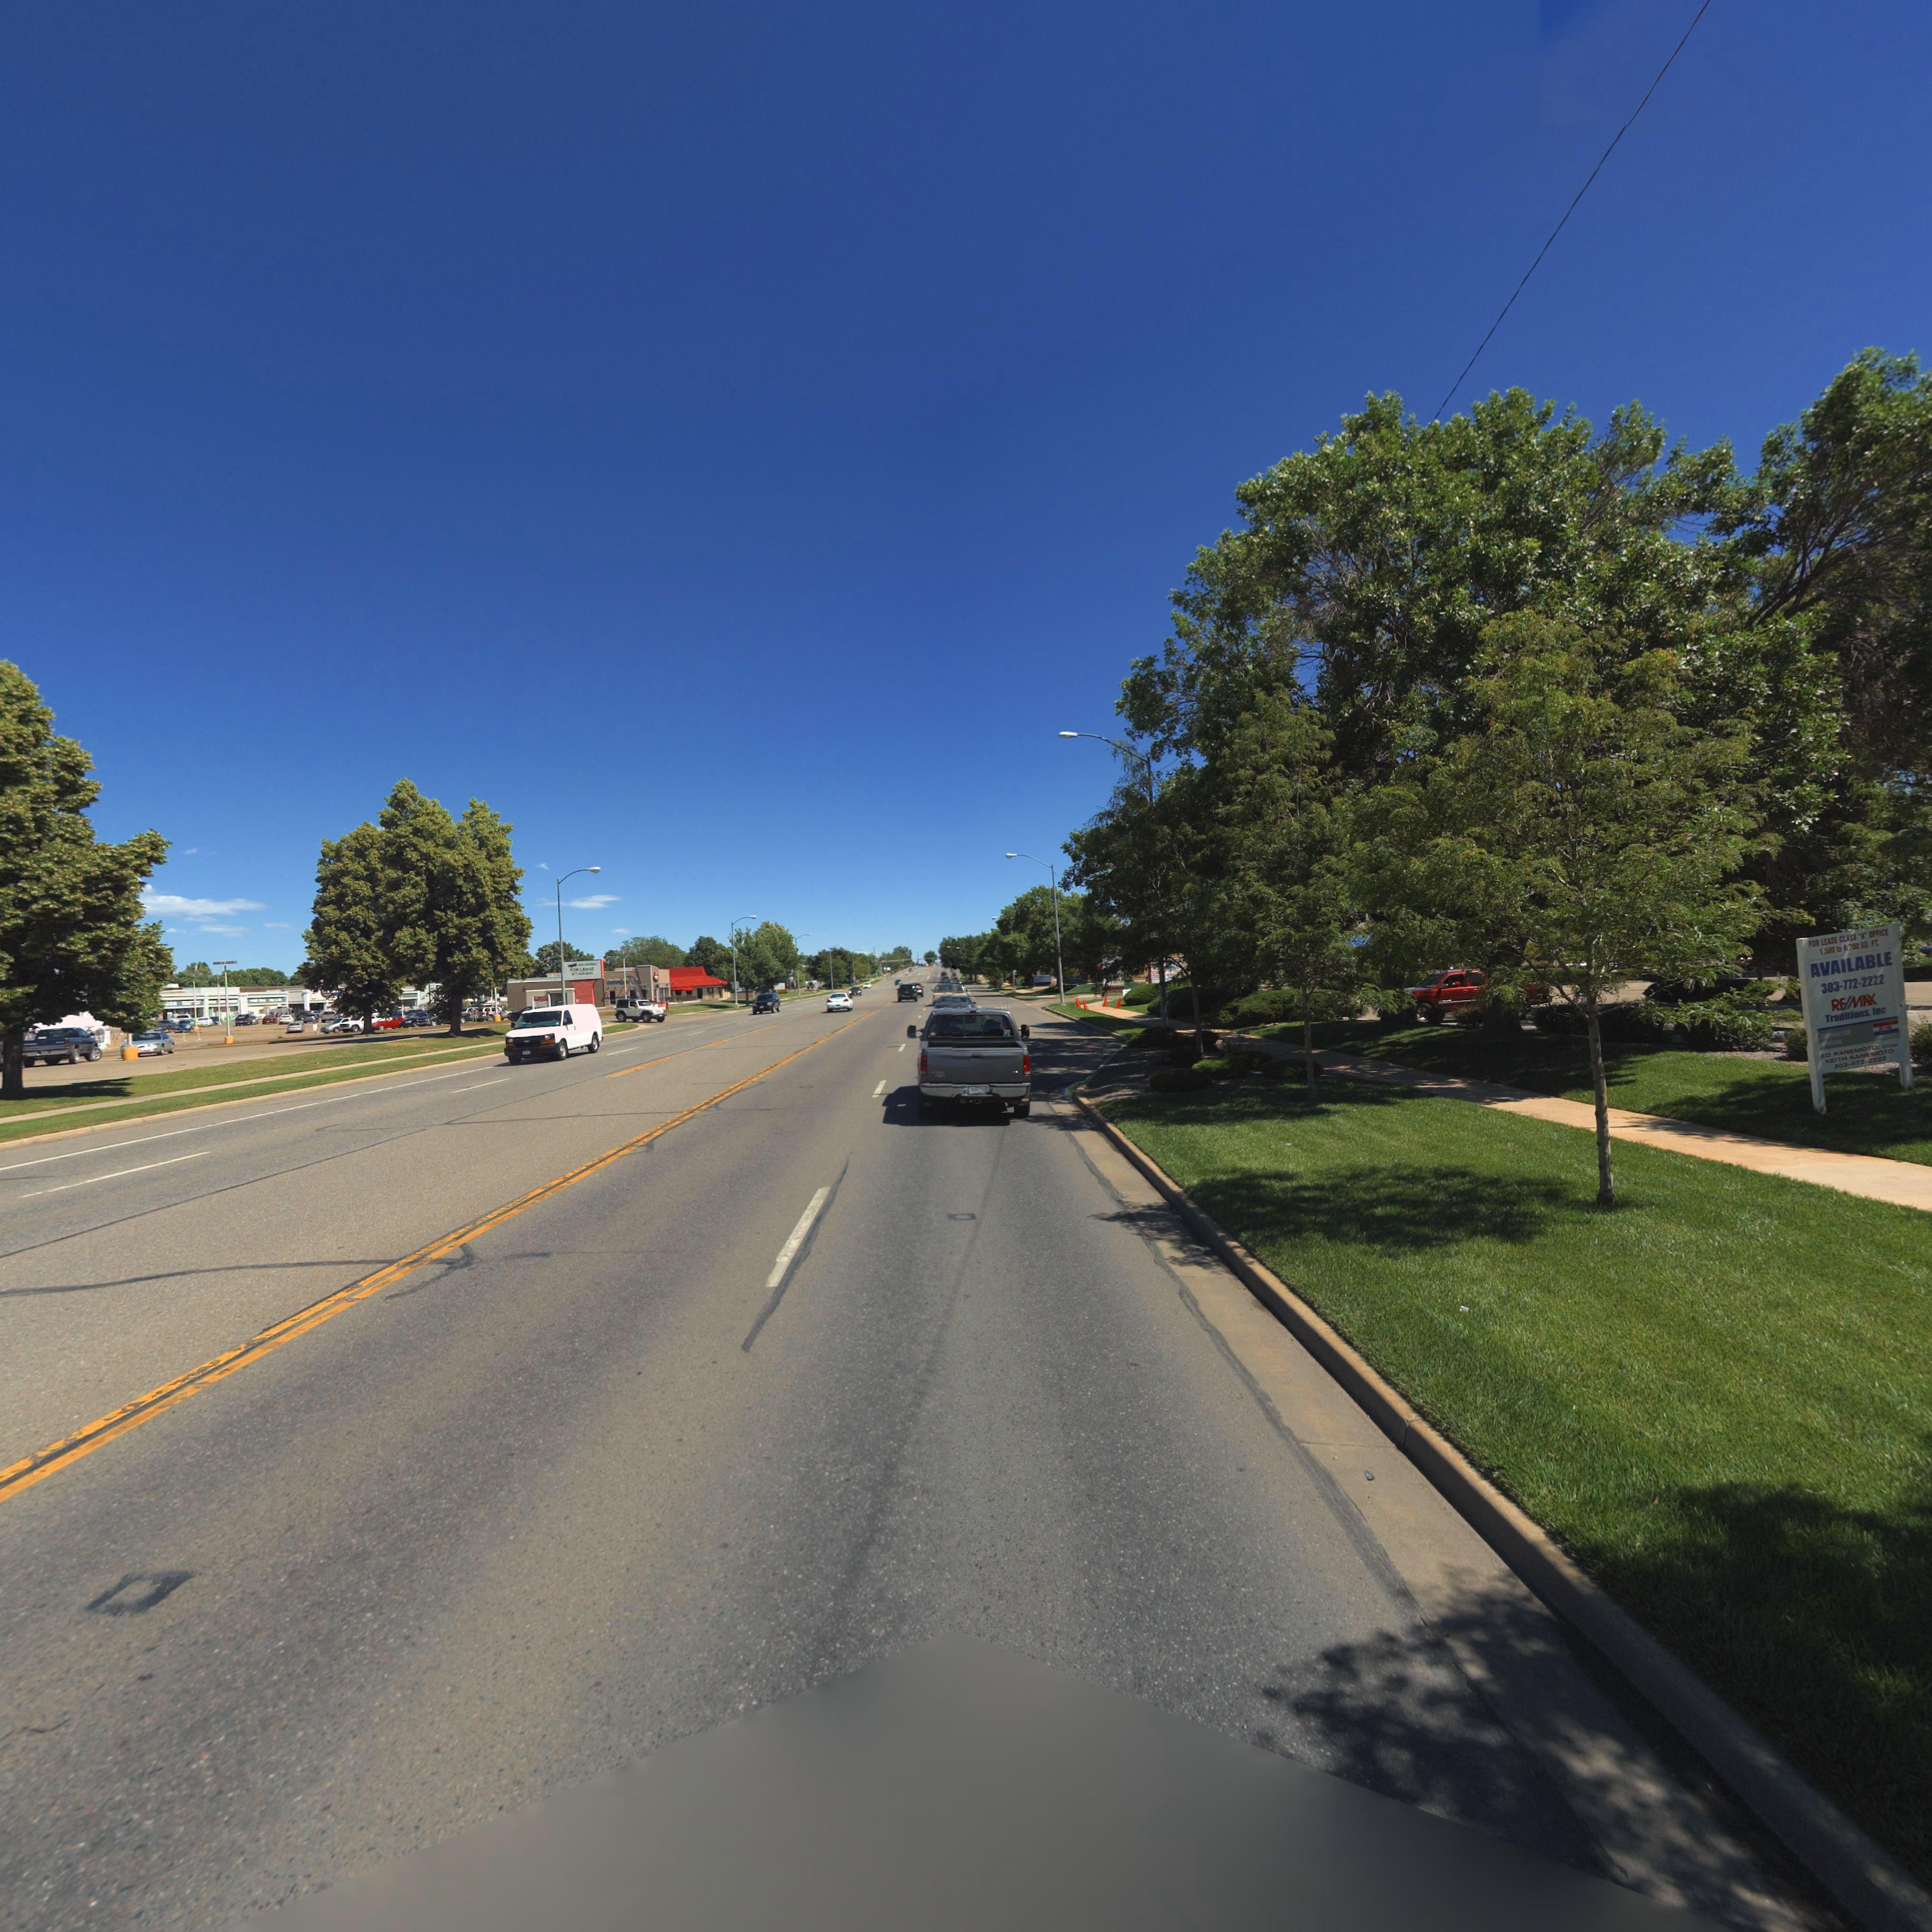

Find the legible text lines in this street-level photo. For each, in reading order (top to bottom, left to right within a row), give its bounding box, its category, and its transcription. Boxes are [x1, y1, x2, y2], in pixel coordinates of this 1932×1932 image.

[1830, 992, 1878, 1012] BusinessName: REMAX